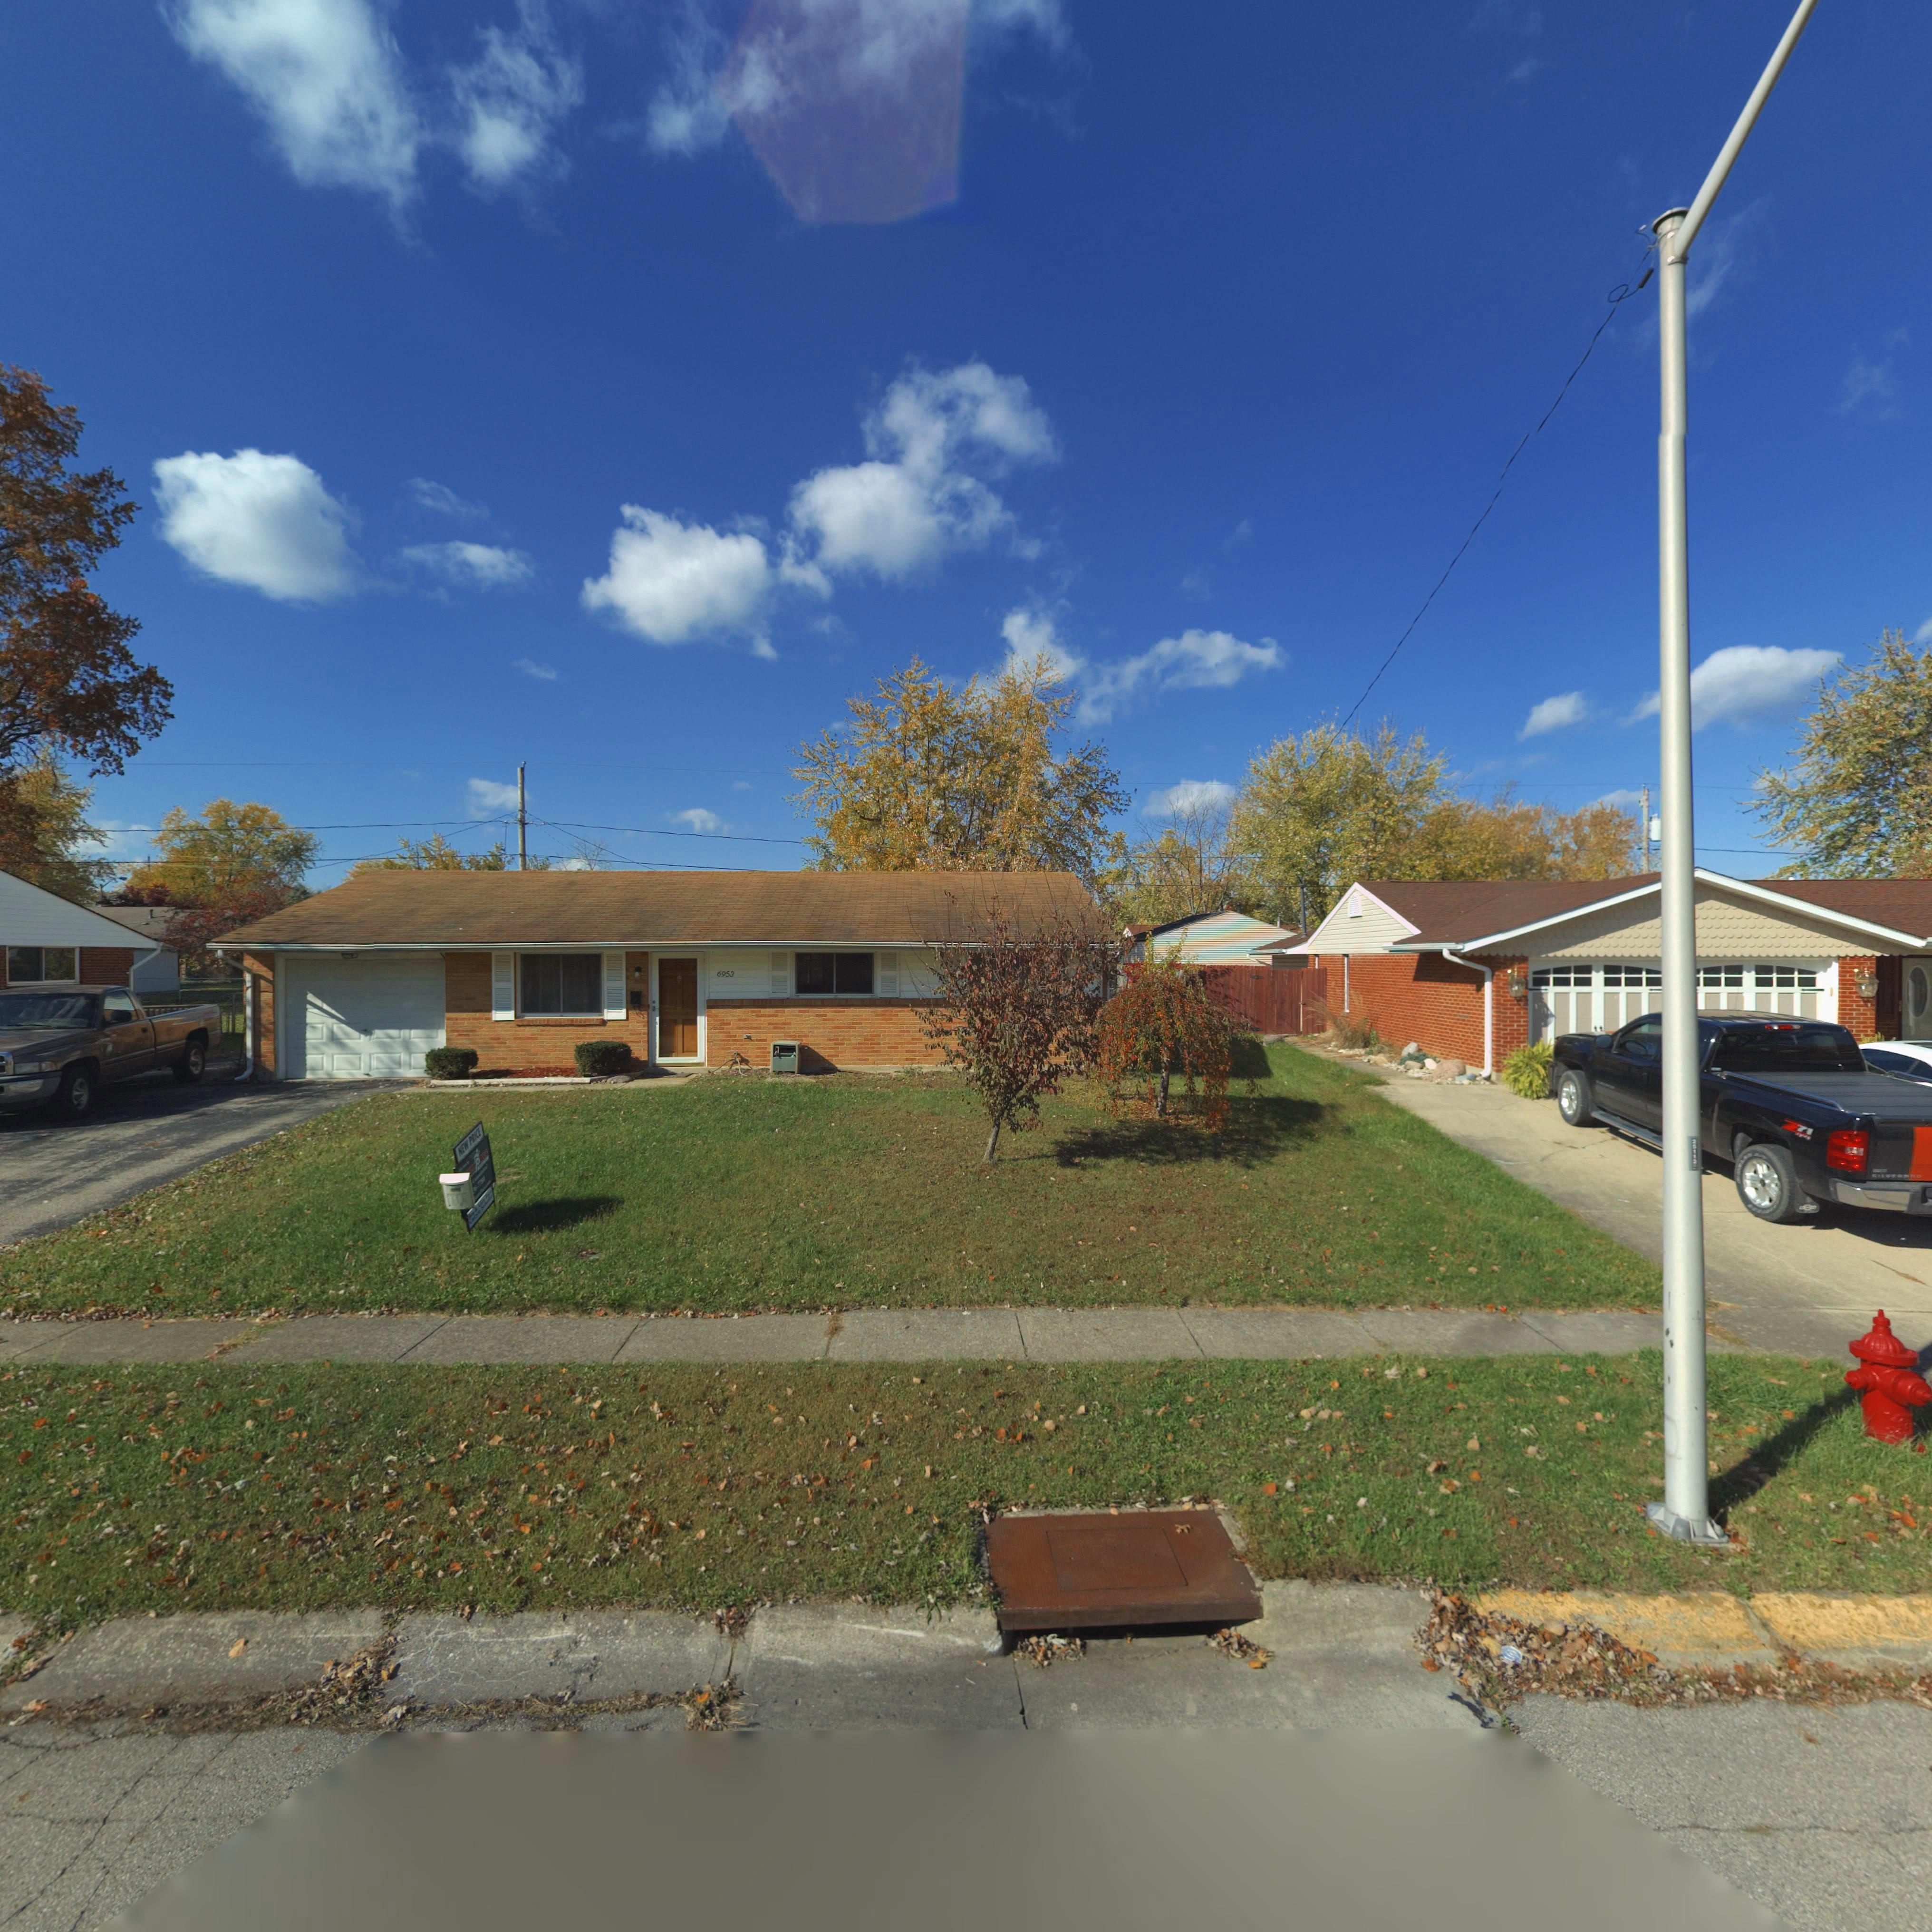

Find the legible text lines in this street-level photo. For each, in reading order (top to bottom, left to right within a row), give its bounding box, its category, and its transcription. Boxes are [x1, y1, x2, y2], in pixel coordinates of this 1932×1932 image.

[715, 969, 736, 979] StreetNumber: 6953